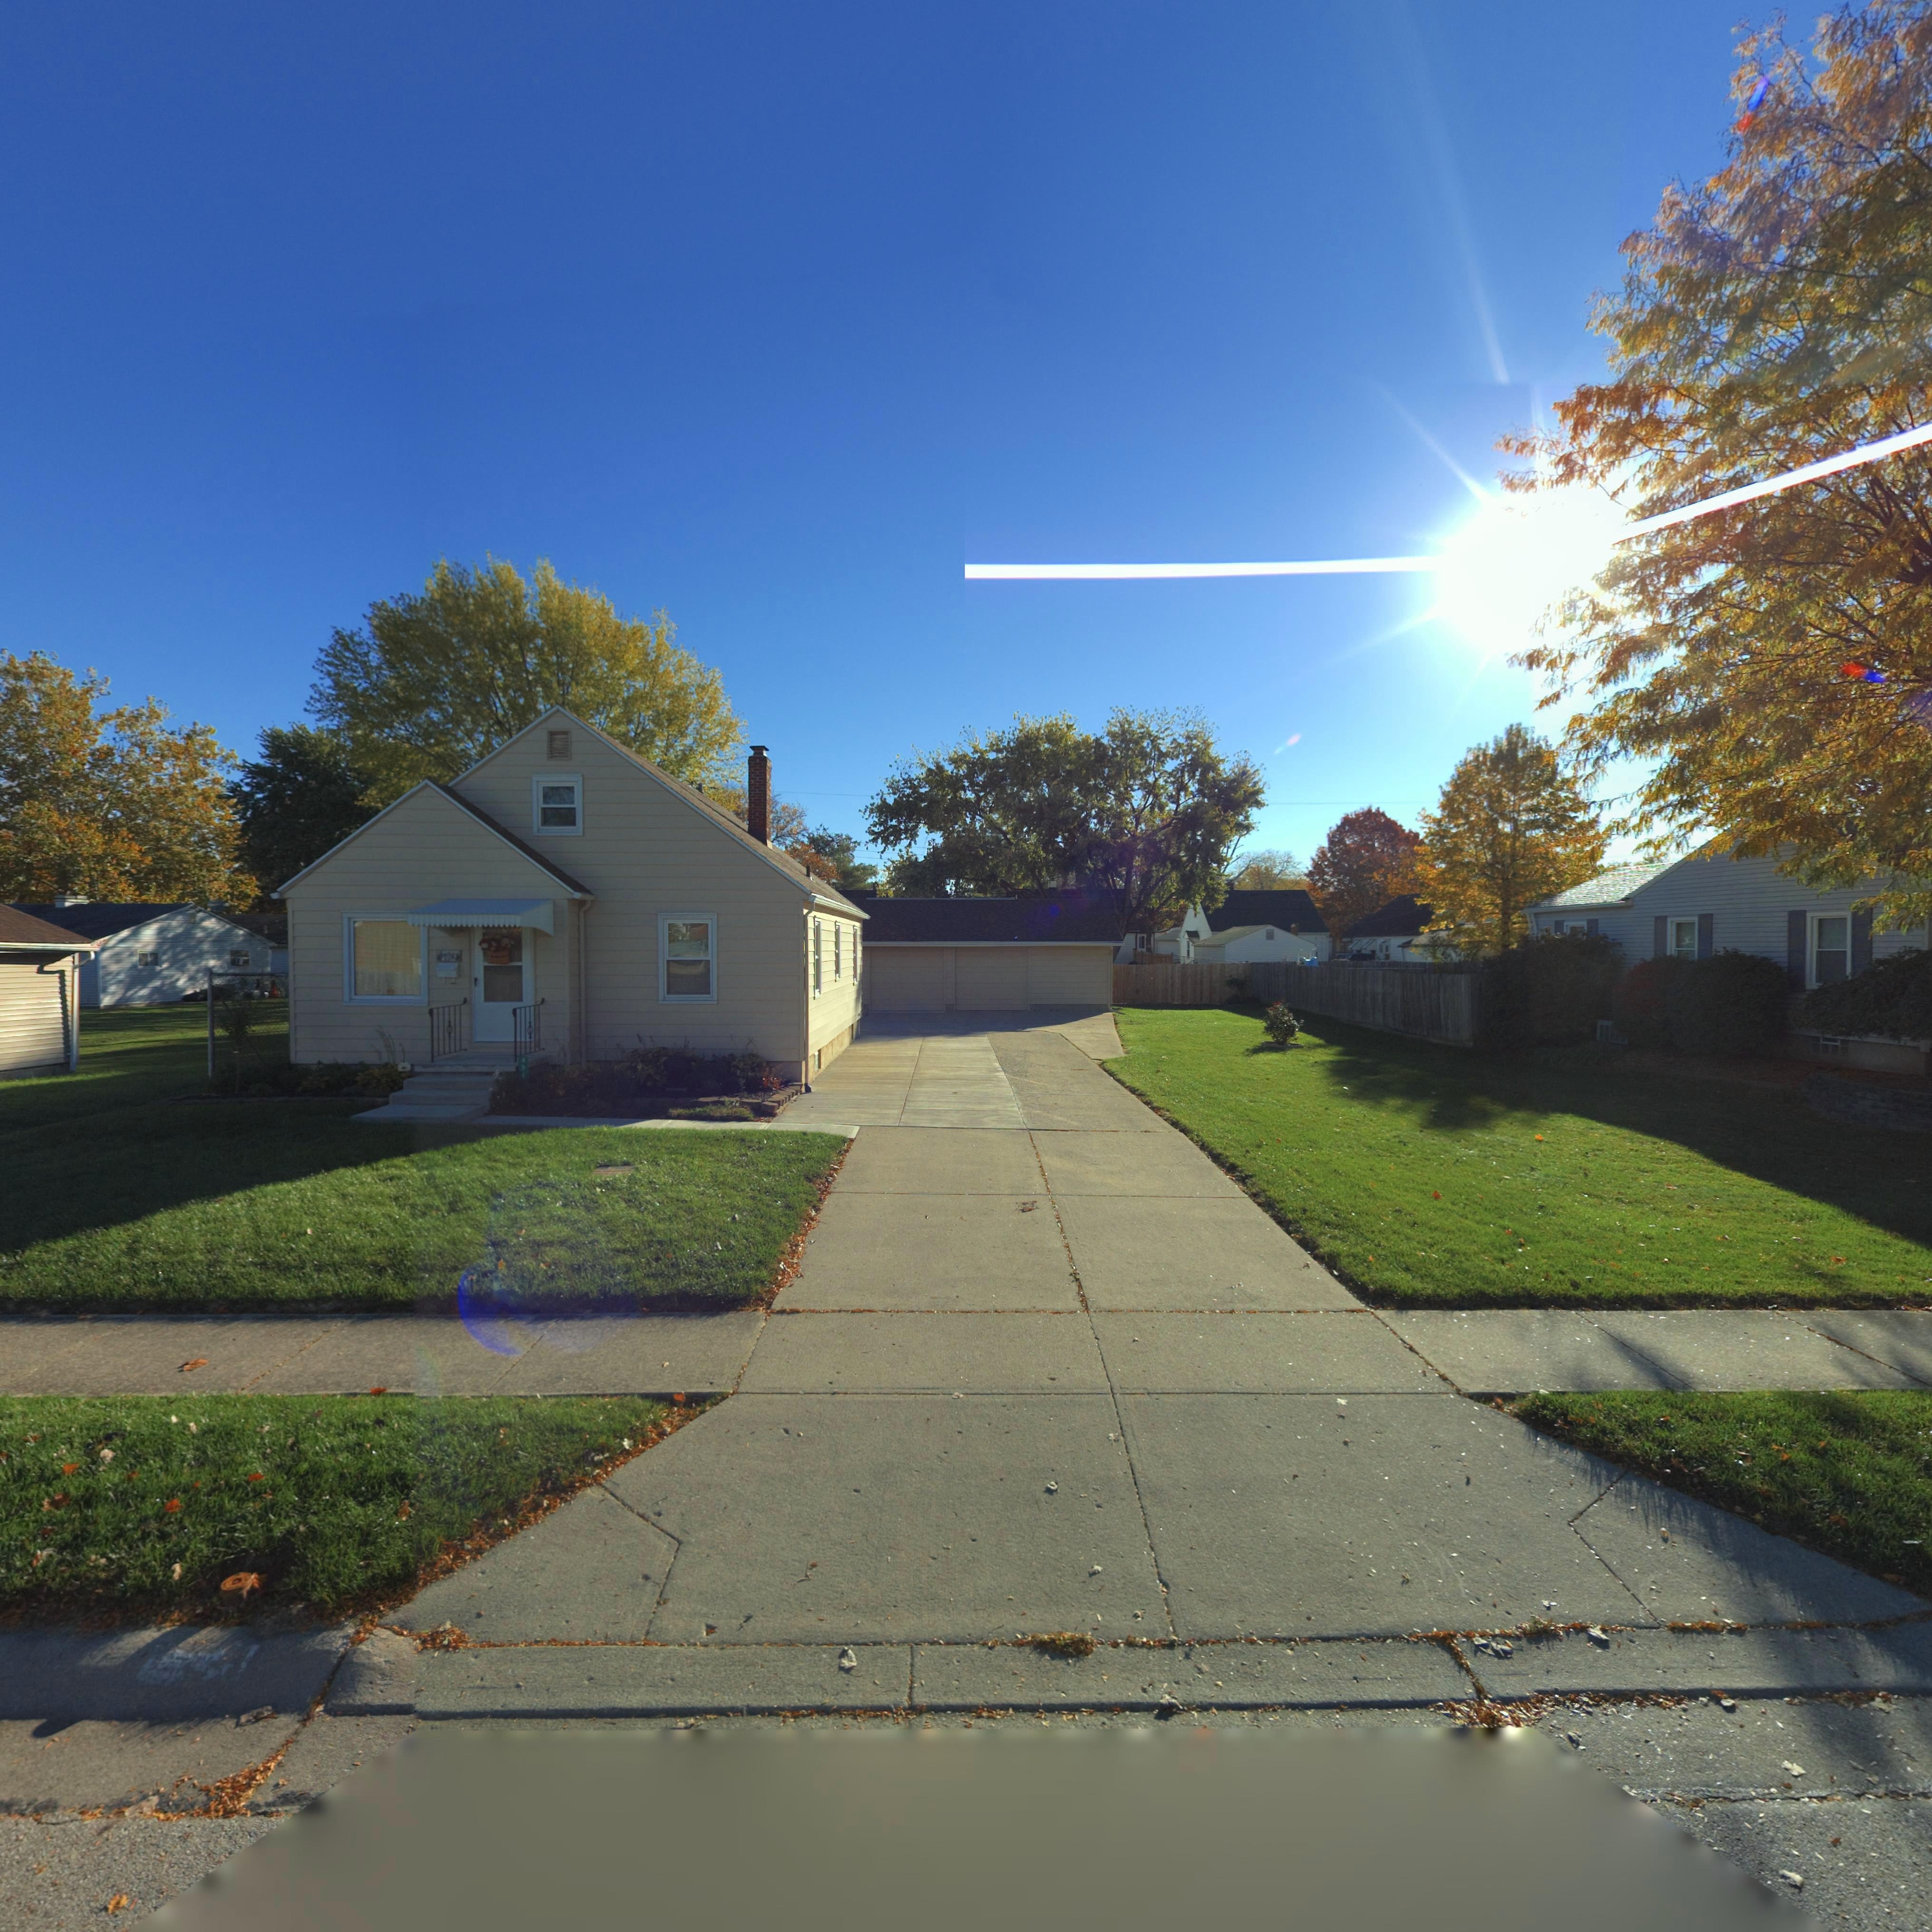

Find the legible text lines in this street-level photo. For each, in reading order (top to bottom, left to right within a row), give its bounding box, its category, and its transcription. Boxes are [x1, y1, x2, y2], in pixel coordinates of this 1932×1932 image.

[441, 954, 457, 962] StreetNumber: 4912